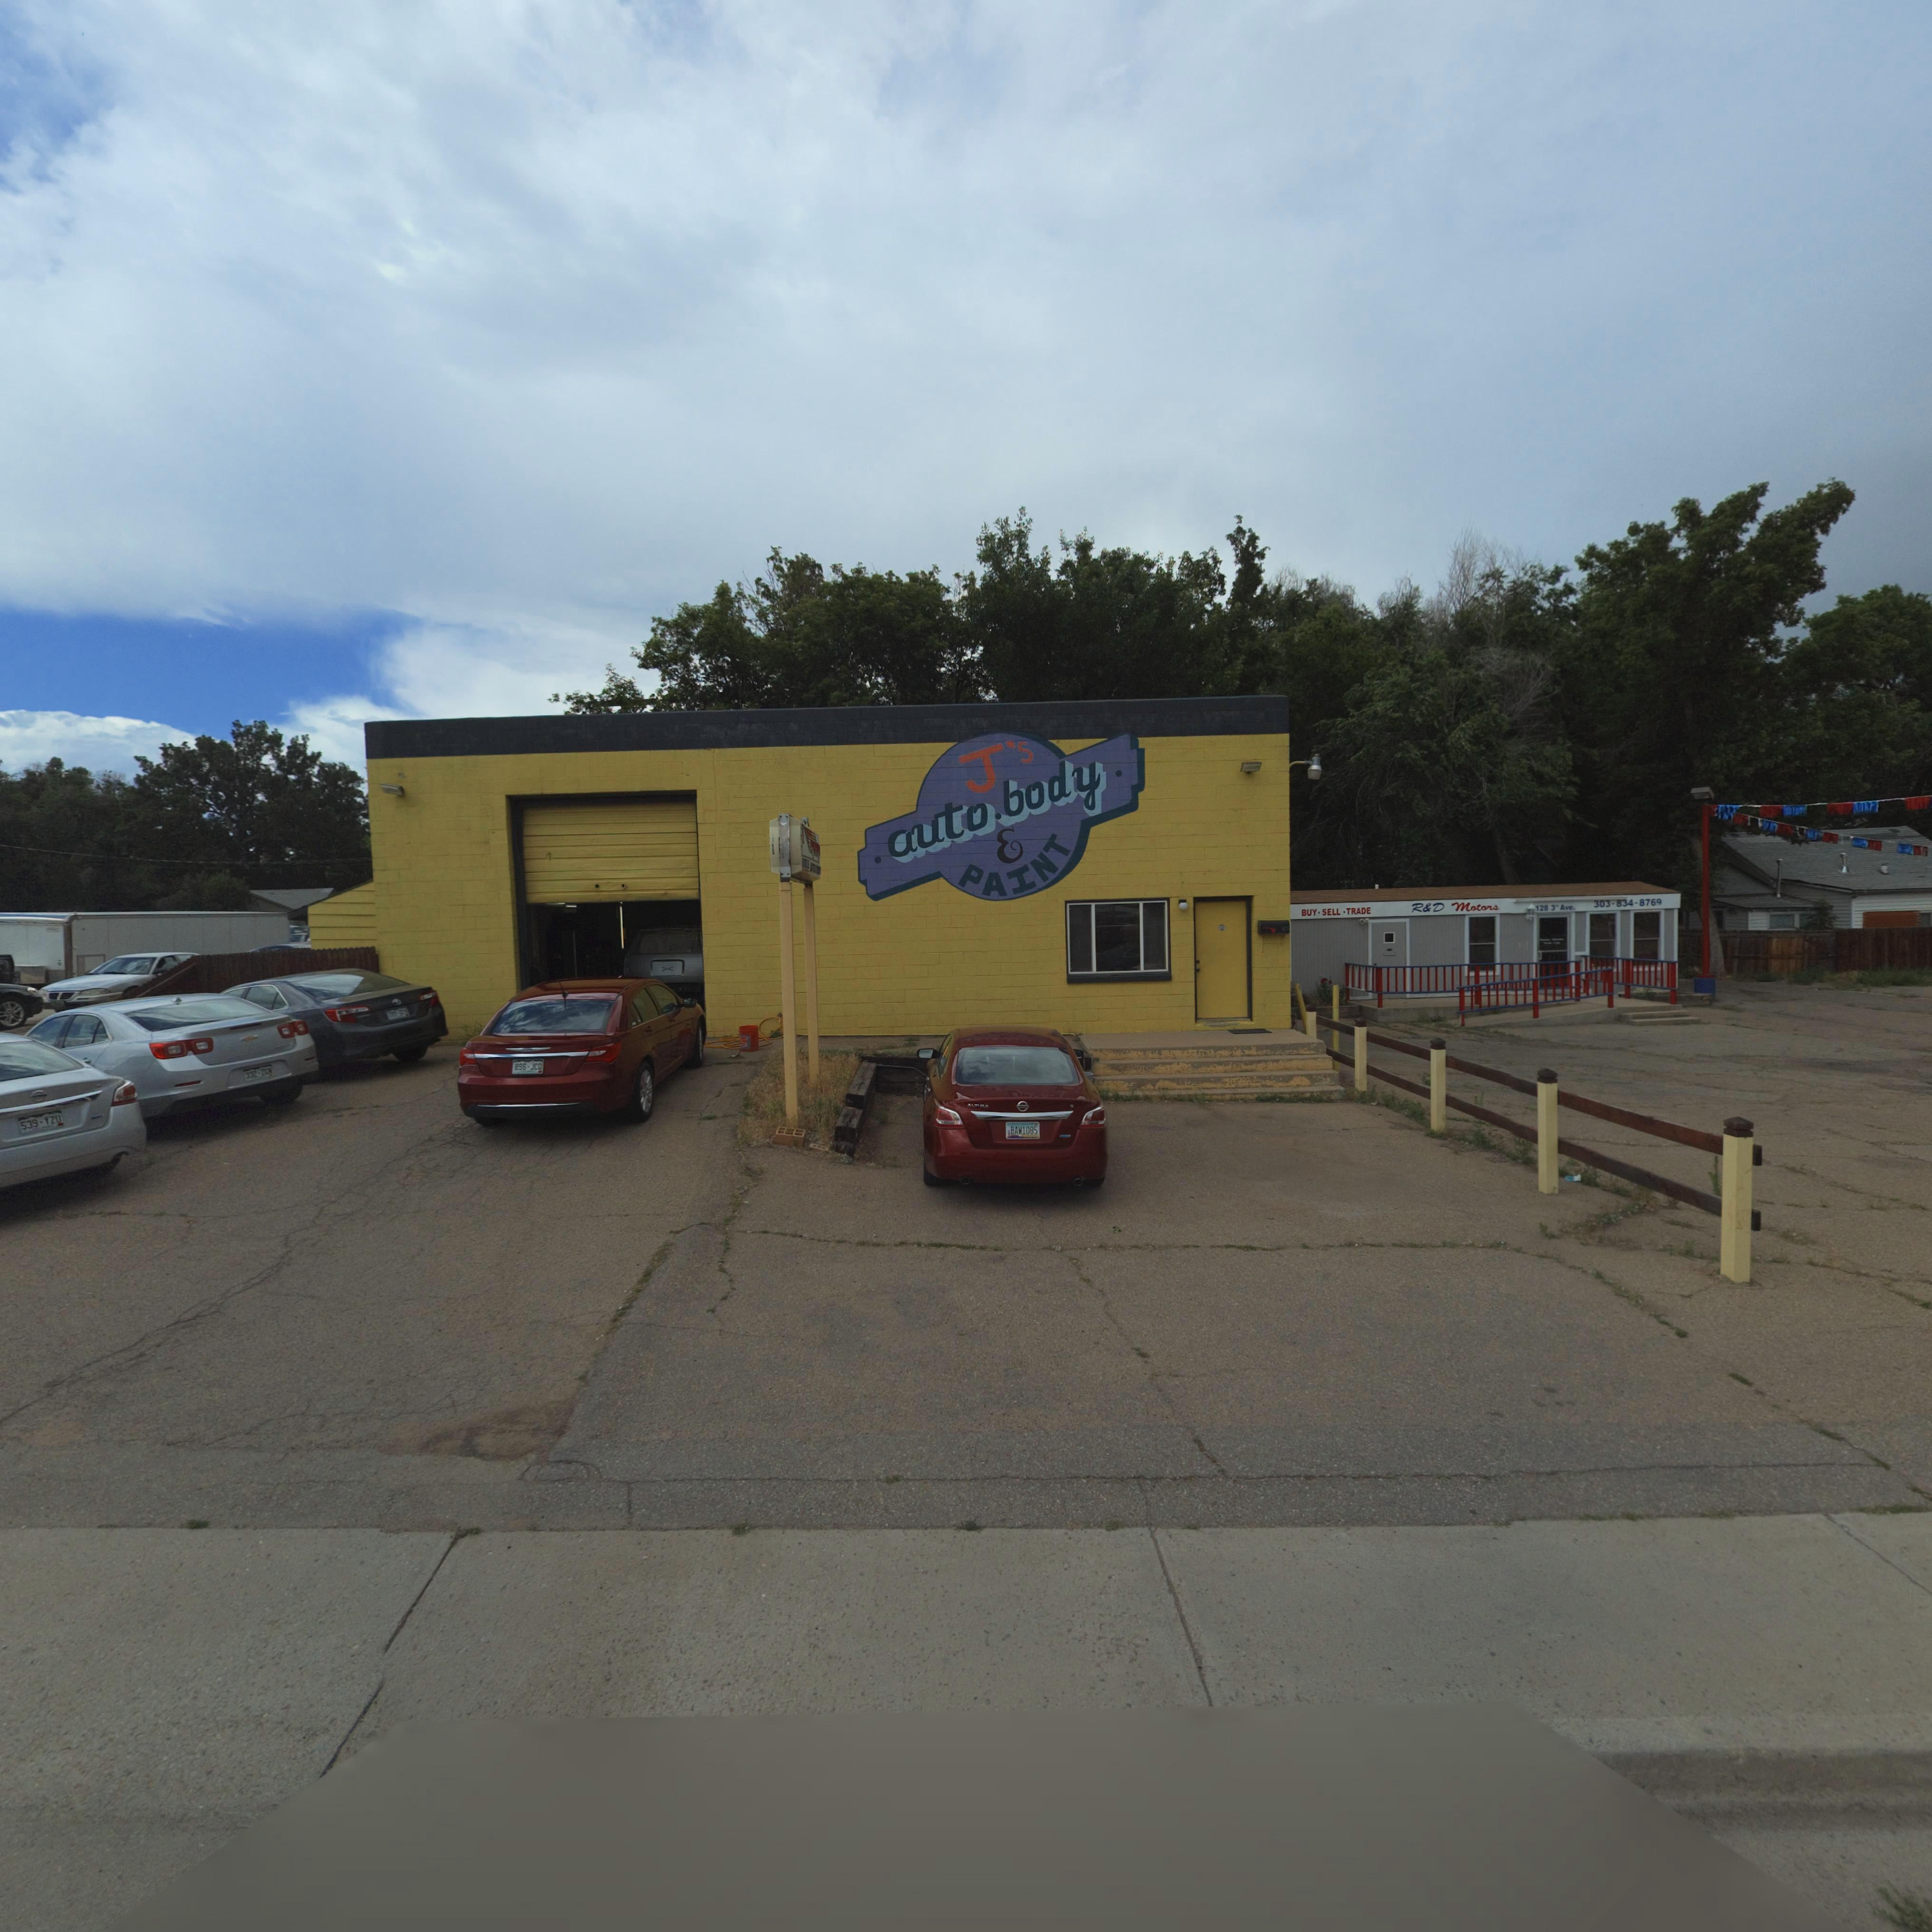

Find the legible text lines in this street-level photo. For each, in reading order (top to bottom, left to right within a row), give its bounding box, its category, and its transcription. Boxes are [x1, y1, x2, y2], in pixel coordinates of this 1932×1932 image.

[957, 739, 1034, 794] BusinessName: J*s
[887, 759, 1102, 859] BusinessName: auto * body
[956, 832, 1071, 898] BusinessName: PAINT
[1411, 902, 1445, 913] BusinessName: R*D
[1451, 901, 1500, 912] BusinessName: Motors
[1535, 904, 1548, 911] StreetNumber: 128
[1550, 903, 1574, 911] StreetName: 3* Ave